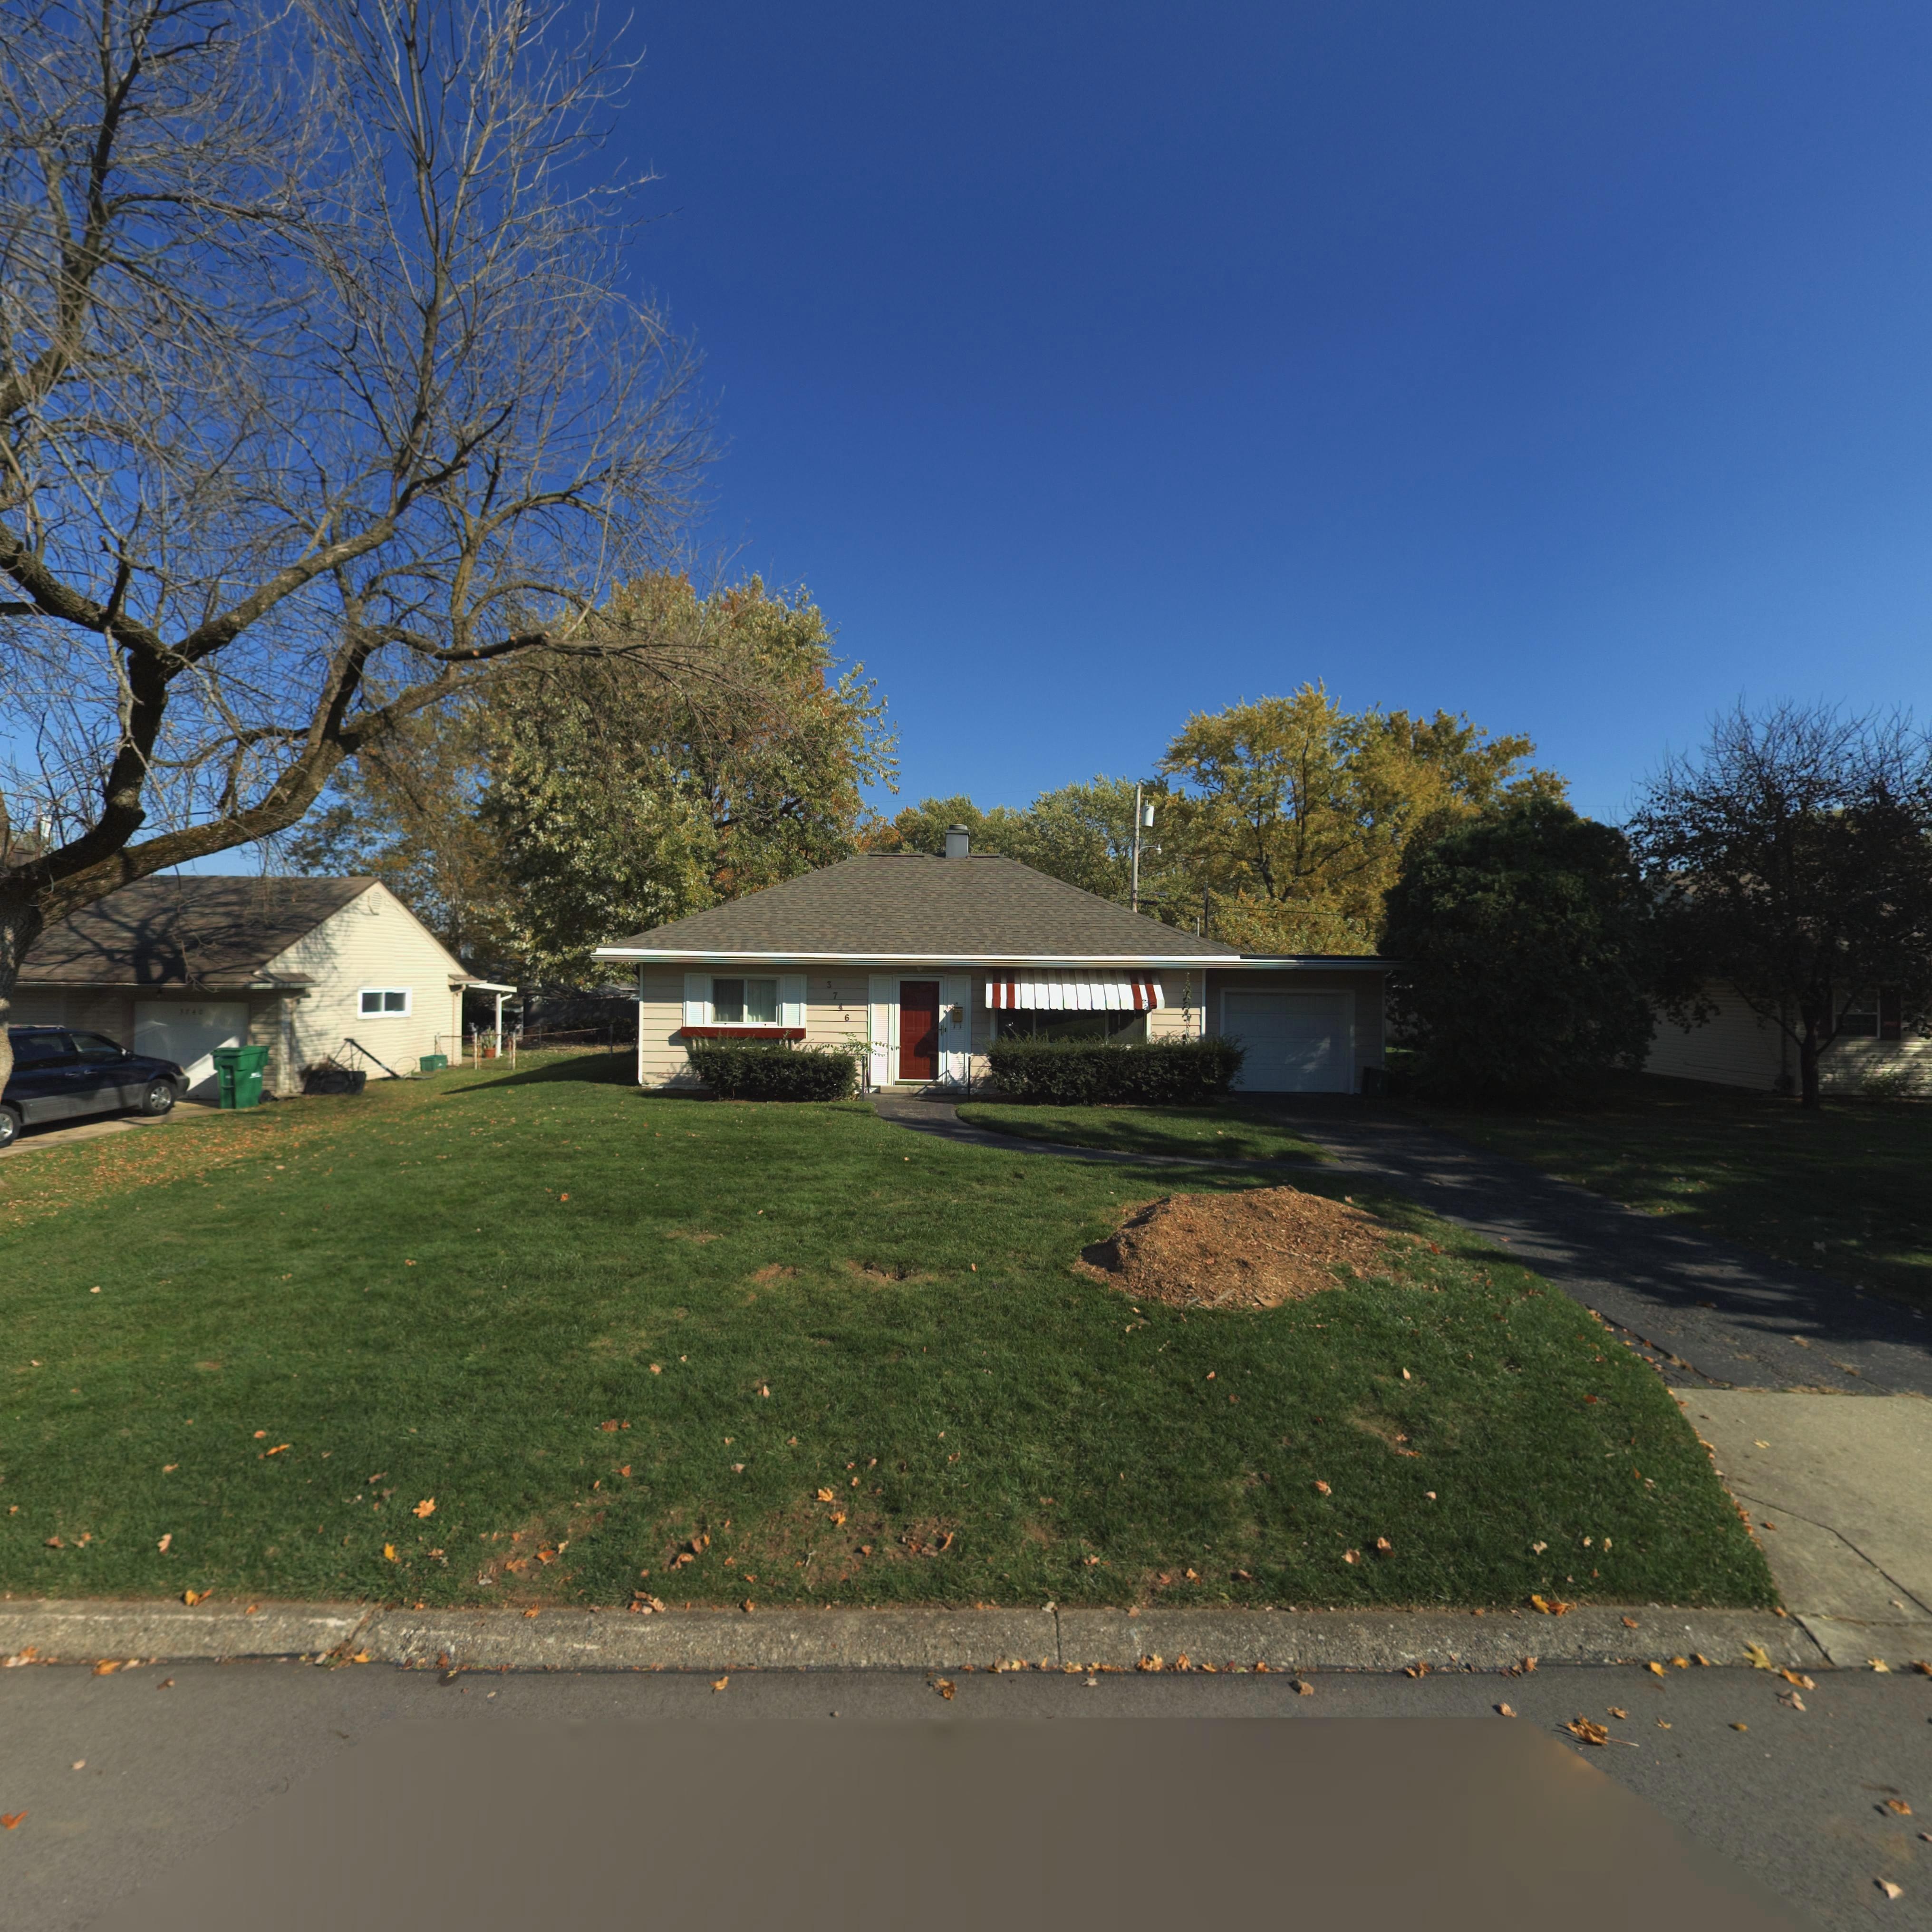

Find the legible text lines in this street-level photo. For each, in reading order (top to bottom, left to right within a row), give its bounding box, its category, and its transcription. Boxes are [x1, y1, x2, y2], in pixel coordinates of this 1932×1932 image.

[825, 979, 850, 1023] StreetNumber: 3746